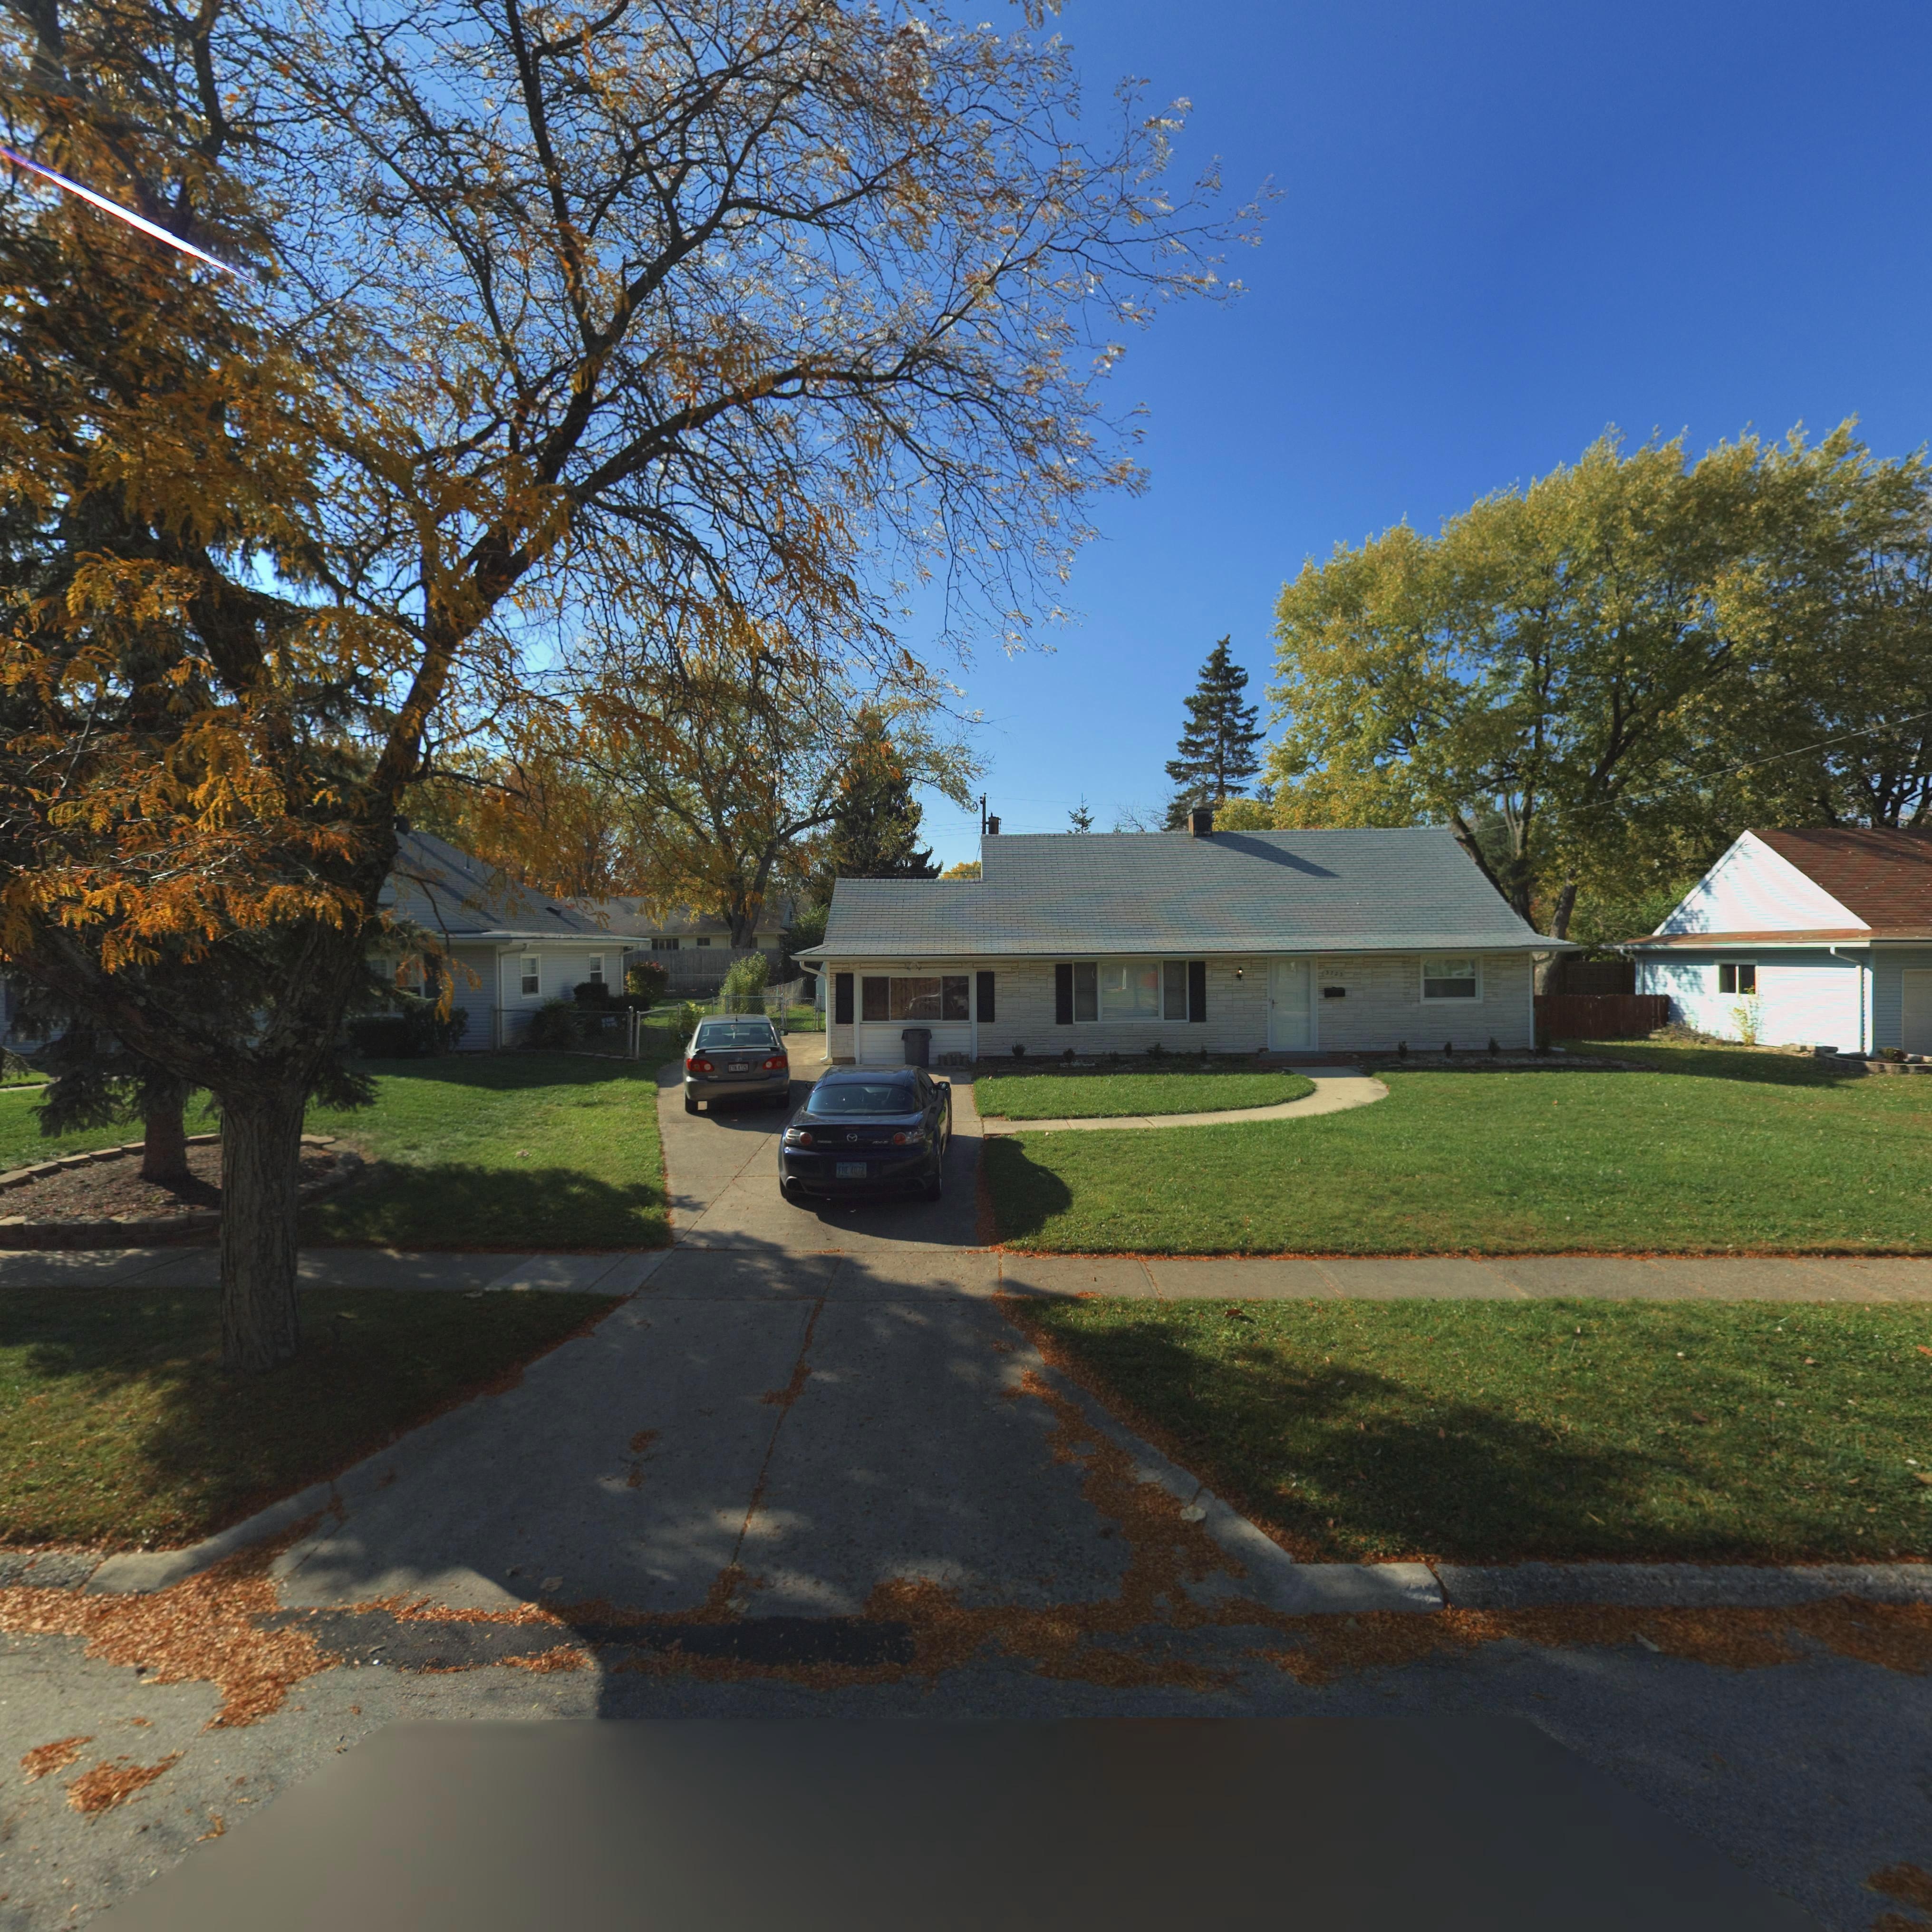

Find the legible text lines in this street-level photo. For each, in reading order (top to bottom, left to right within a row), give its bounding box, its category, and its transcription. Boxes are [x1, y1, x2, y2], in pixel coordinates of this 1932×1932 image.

[1324, 970, 1343, 977] StreetNumber: 3723
[729, 1065, 748, 1071] None: E*N*472*
[837, 1165, 865, 1175] None: FHE*4072